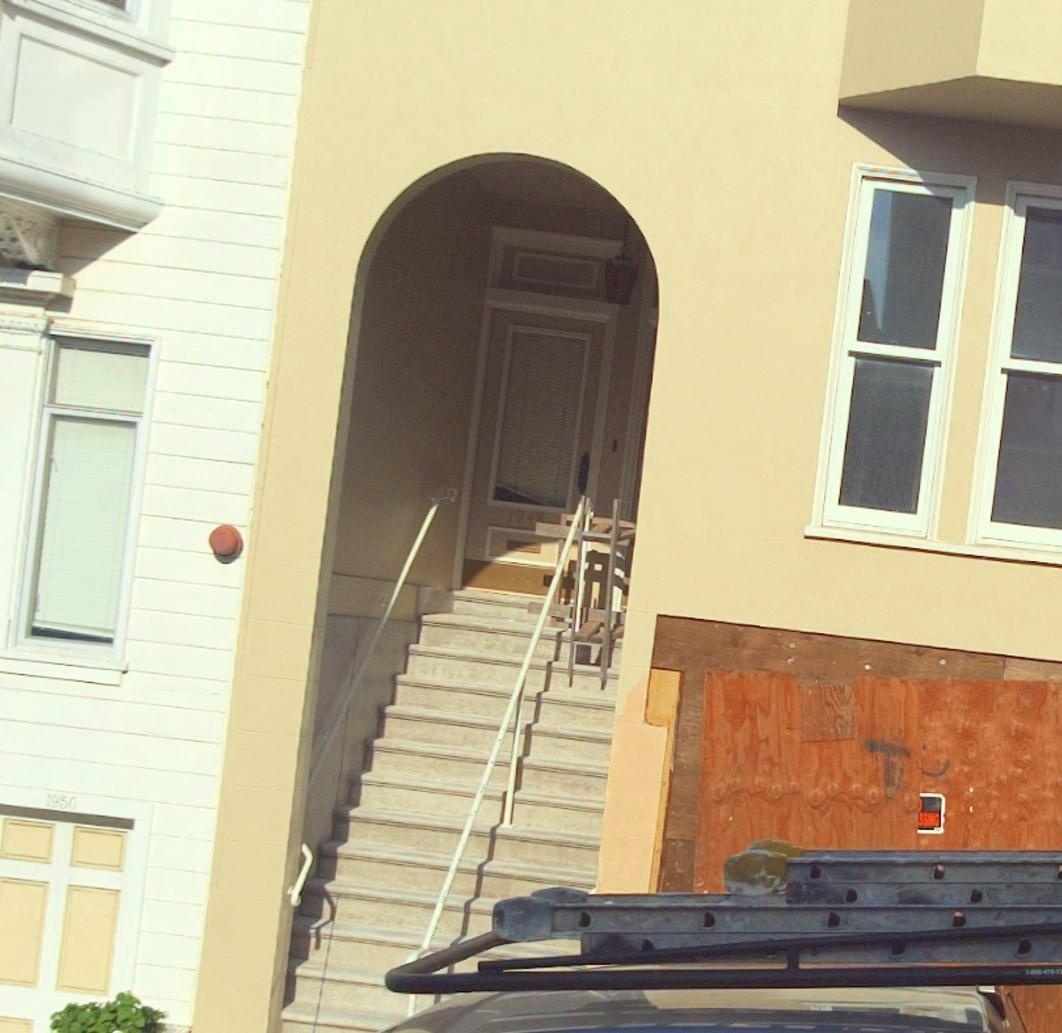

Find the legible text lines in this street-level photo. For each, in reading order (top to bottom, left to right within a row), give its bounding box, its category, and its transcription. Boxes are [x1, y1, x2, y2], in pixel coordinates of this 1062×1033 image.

[504, 505, 550, 527] StreetNumber: 1948